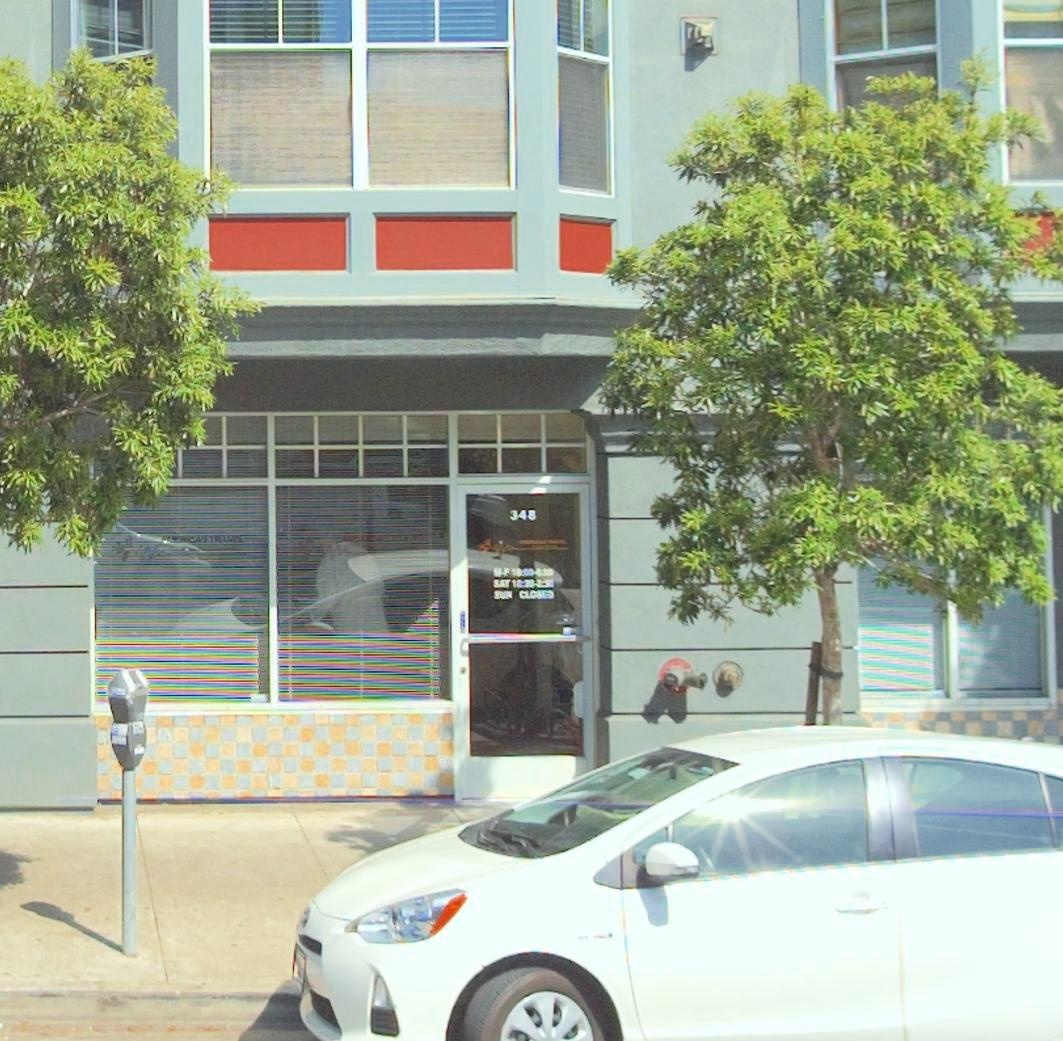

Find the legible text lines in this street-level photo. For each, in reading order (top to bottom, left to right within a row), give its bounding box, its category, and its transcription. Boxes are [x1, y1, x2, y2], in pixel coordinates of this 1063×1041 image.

[509, 509, 537, 522] StreetNumber: 348